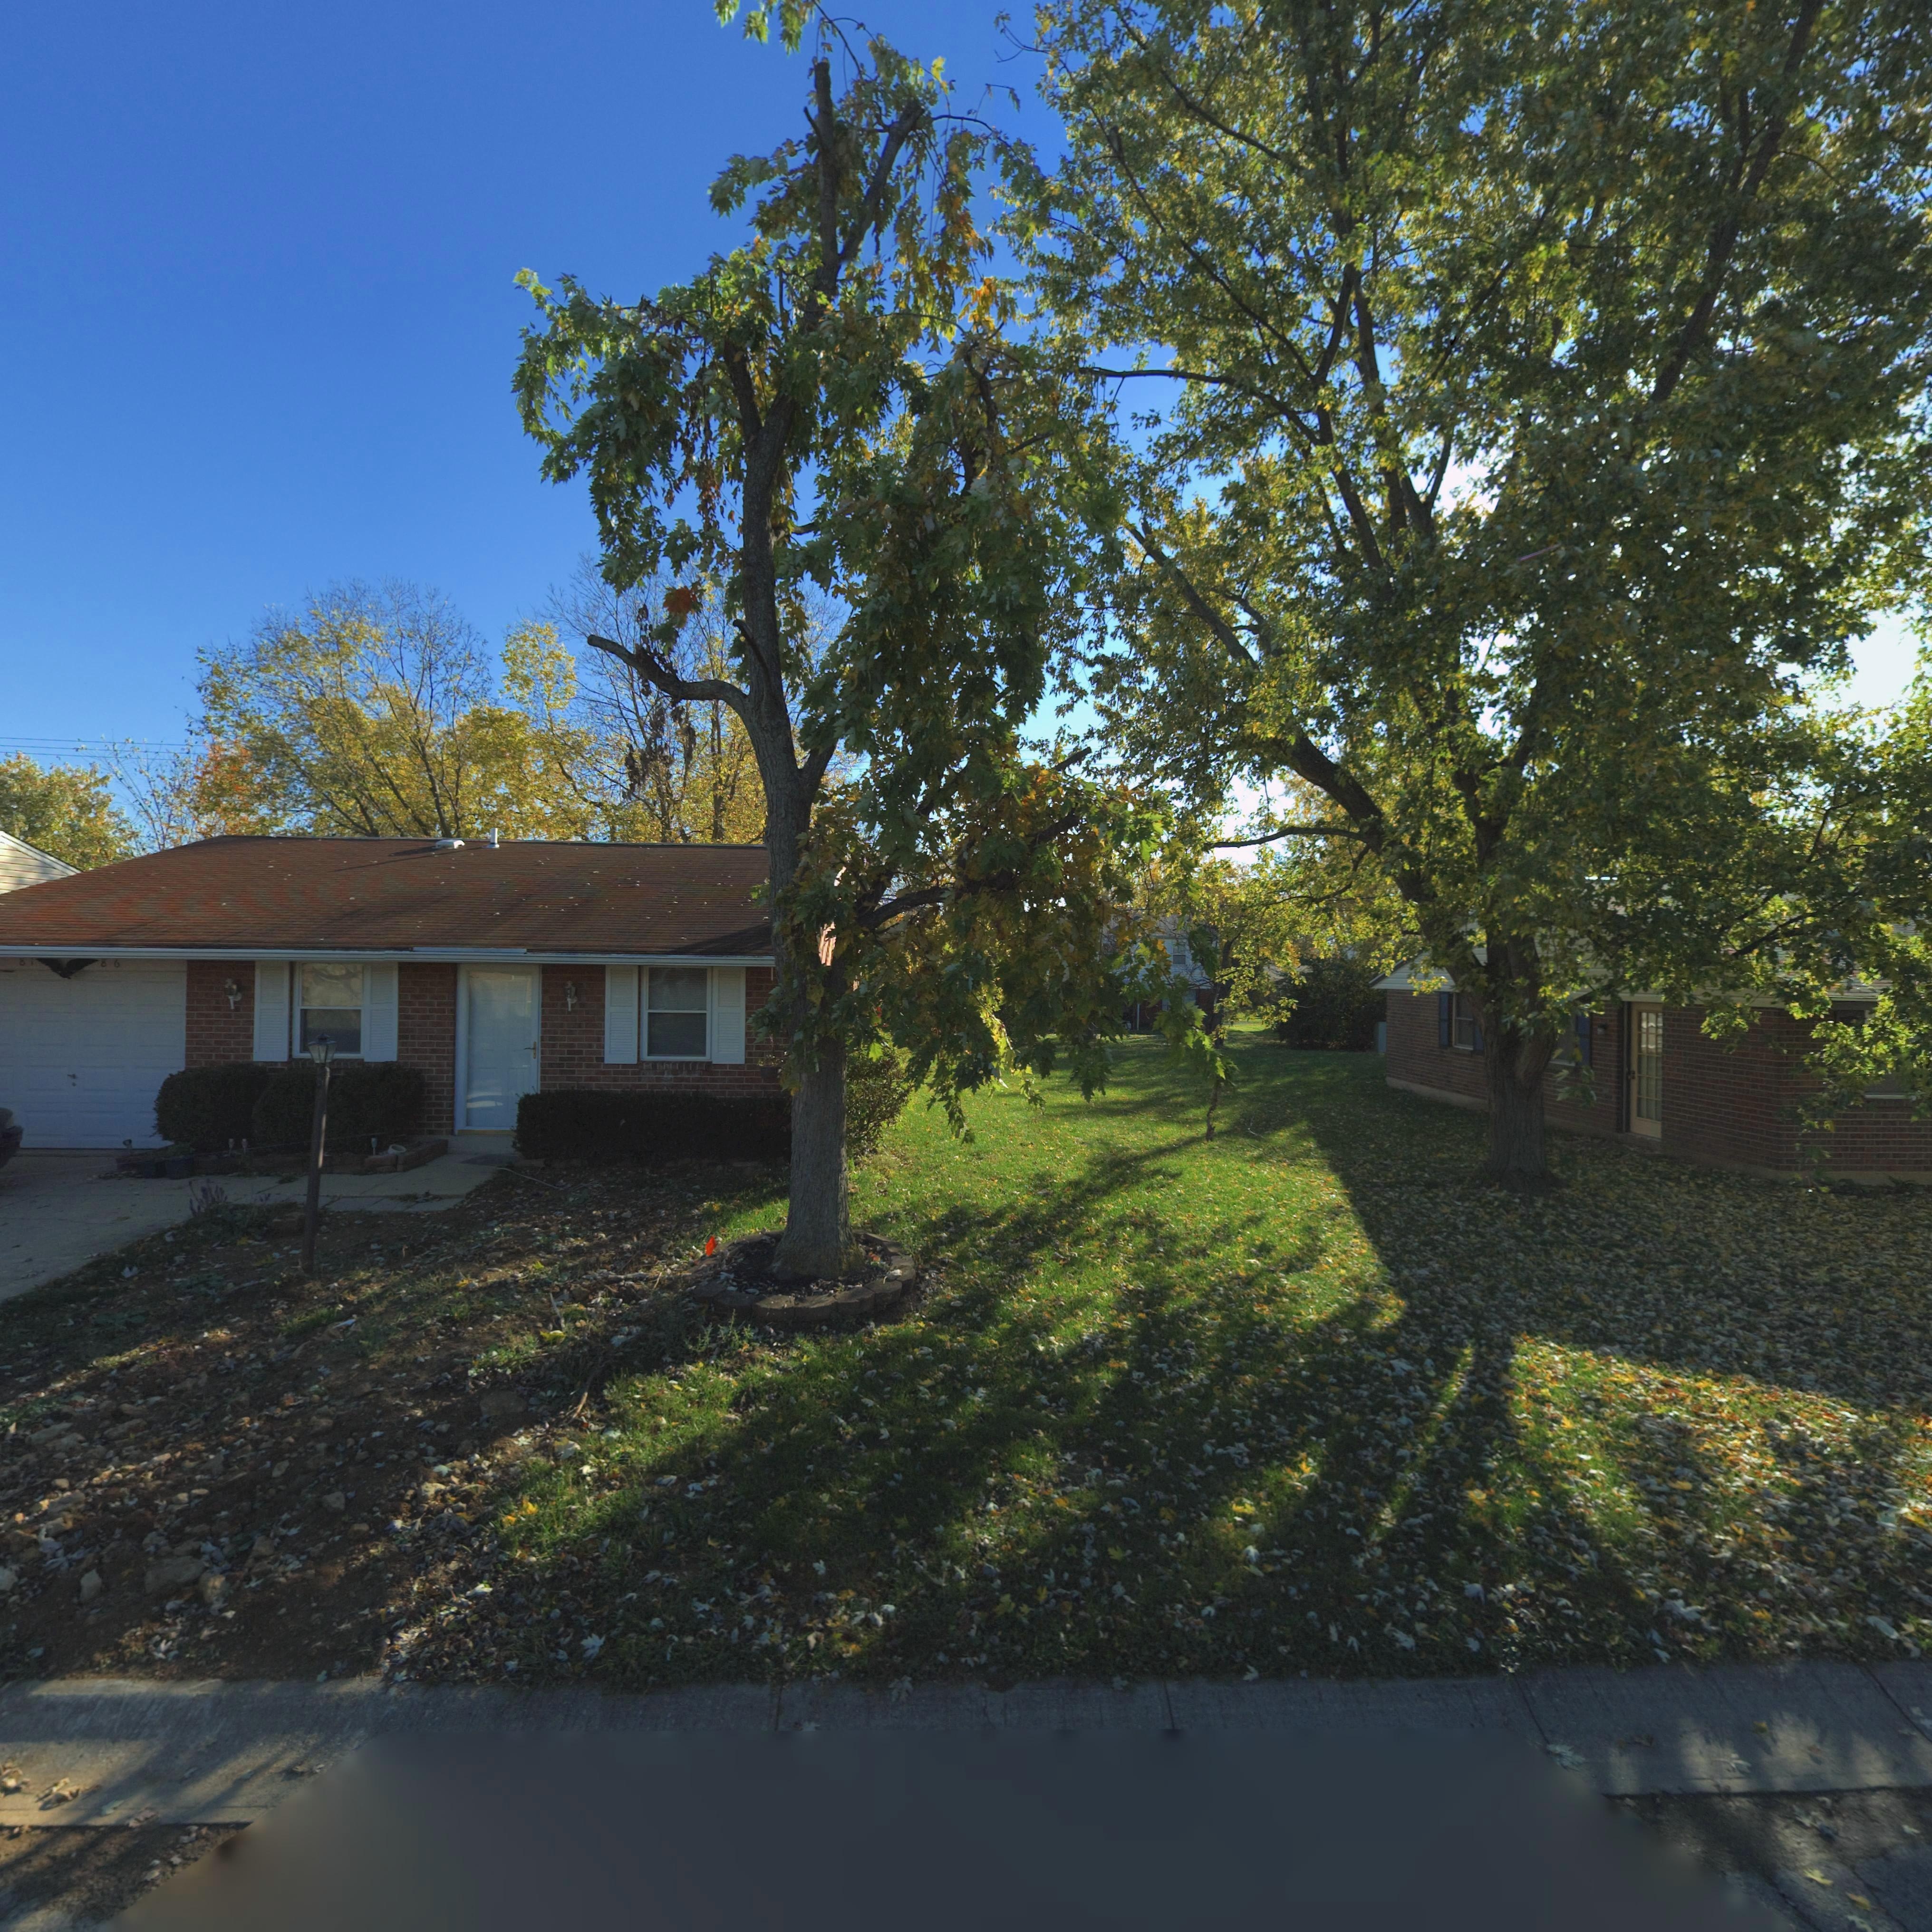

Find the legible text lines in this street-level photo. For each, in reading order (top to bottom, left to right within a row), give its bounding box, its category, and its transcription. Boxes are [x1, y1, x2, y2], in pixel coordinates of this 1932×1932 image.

[16, 957, 122, 969] StreetNumber: 81*86